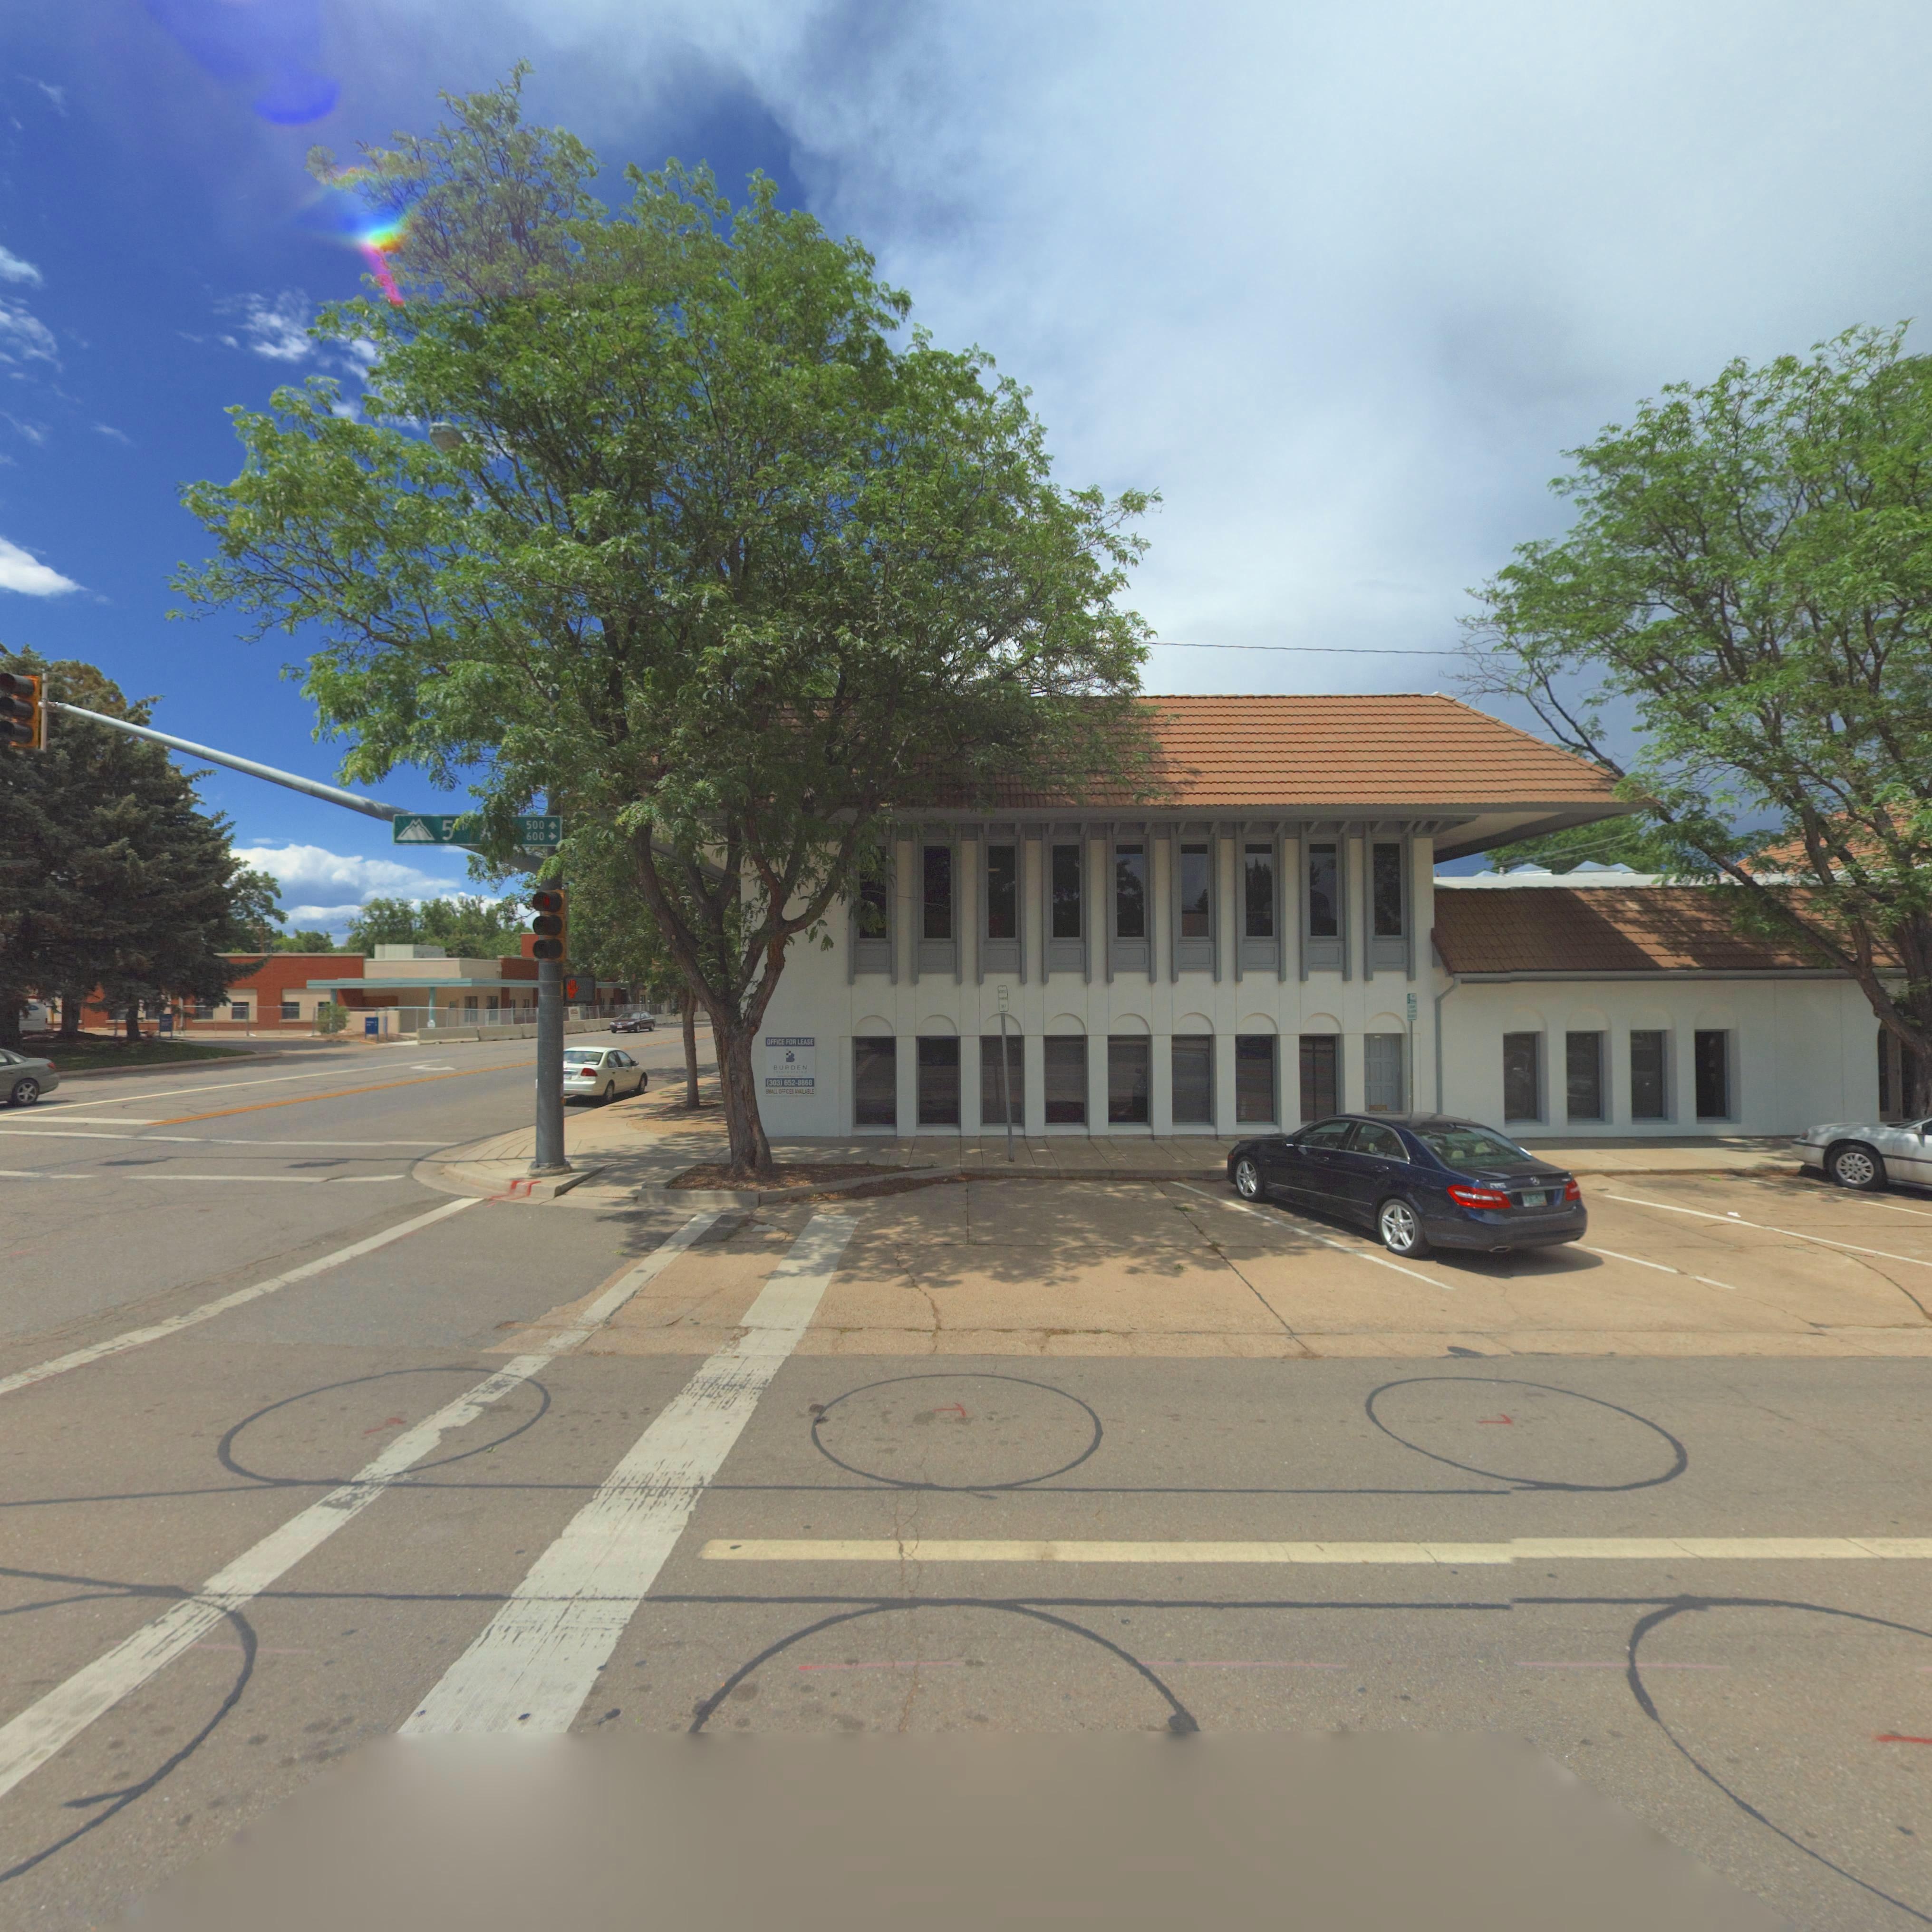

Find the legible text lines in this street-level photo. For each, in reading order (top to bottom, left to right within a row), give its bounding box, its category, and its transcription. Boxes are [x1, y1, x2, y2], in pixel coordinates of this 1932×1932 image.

[526, 820, 545, 830] StreetNumberRange: 500
[441, 820, 518, 840] StreetName: 5** ***
[525, 831, 558, 841] StreetNumberRange: 600->